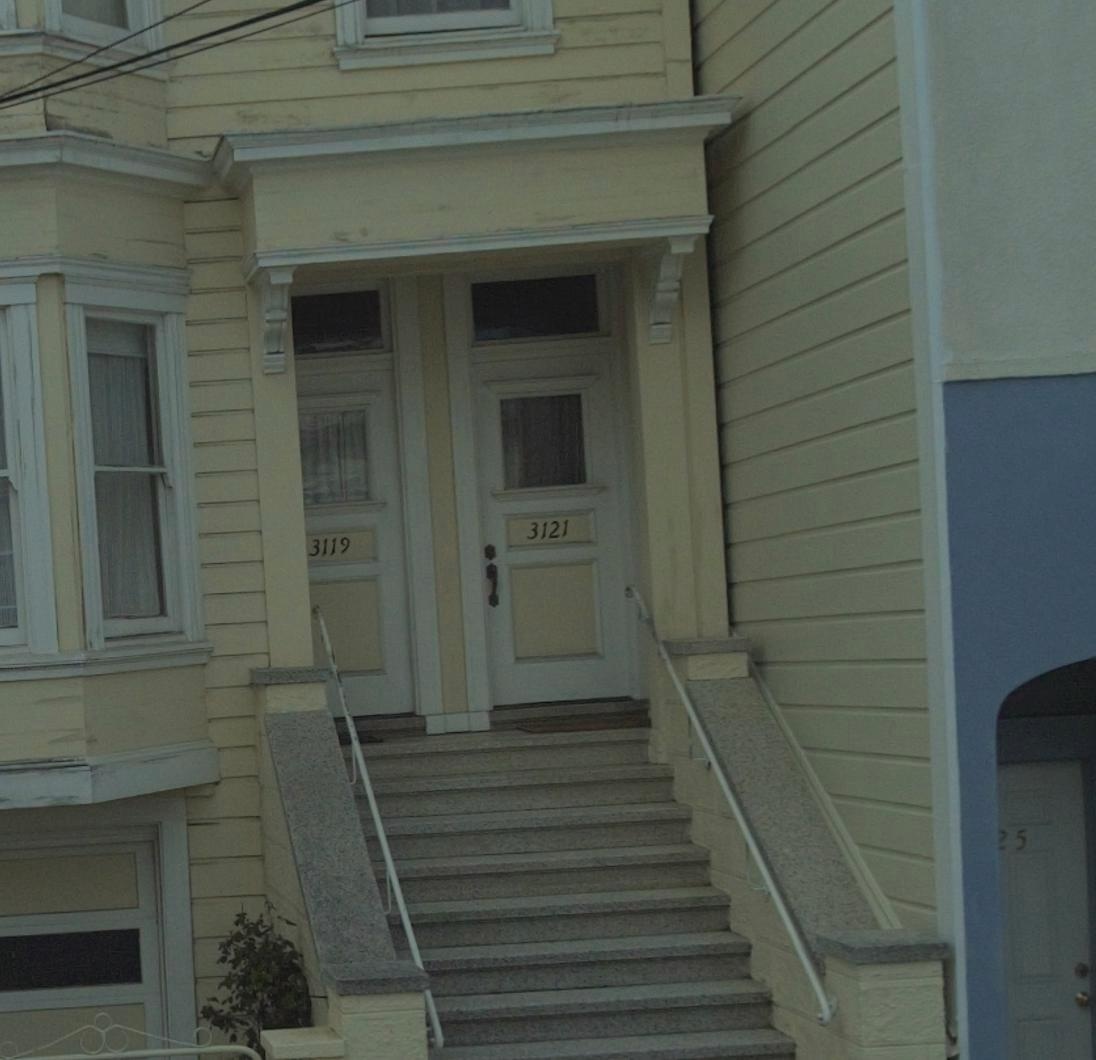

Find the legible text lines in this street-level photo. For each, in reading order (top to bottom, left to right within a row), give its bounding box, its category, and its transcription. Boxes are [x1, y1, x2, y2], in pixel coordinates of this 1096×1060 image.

[523, 516, 571, 542] StreetNumber: 3121
[306, 534, 353, 560] StreetNumber: 3119
[1013, 827, 1030, 852] StreetNumber: 5